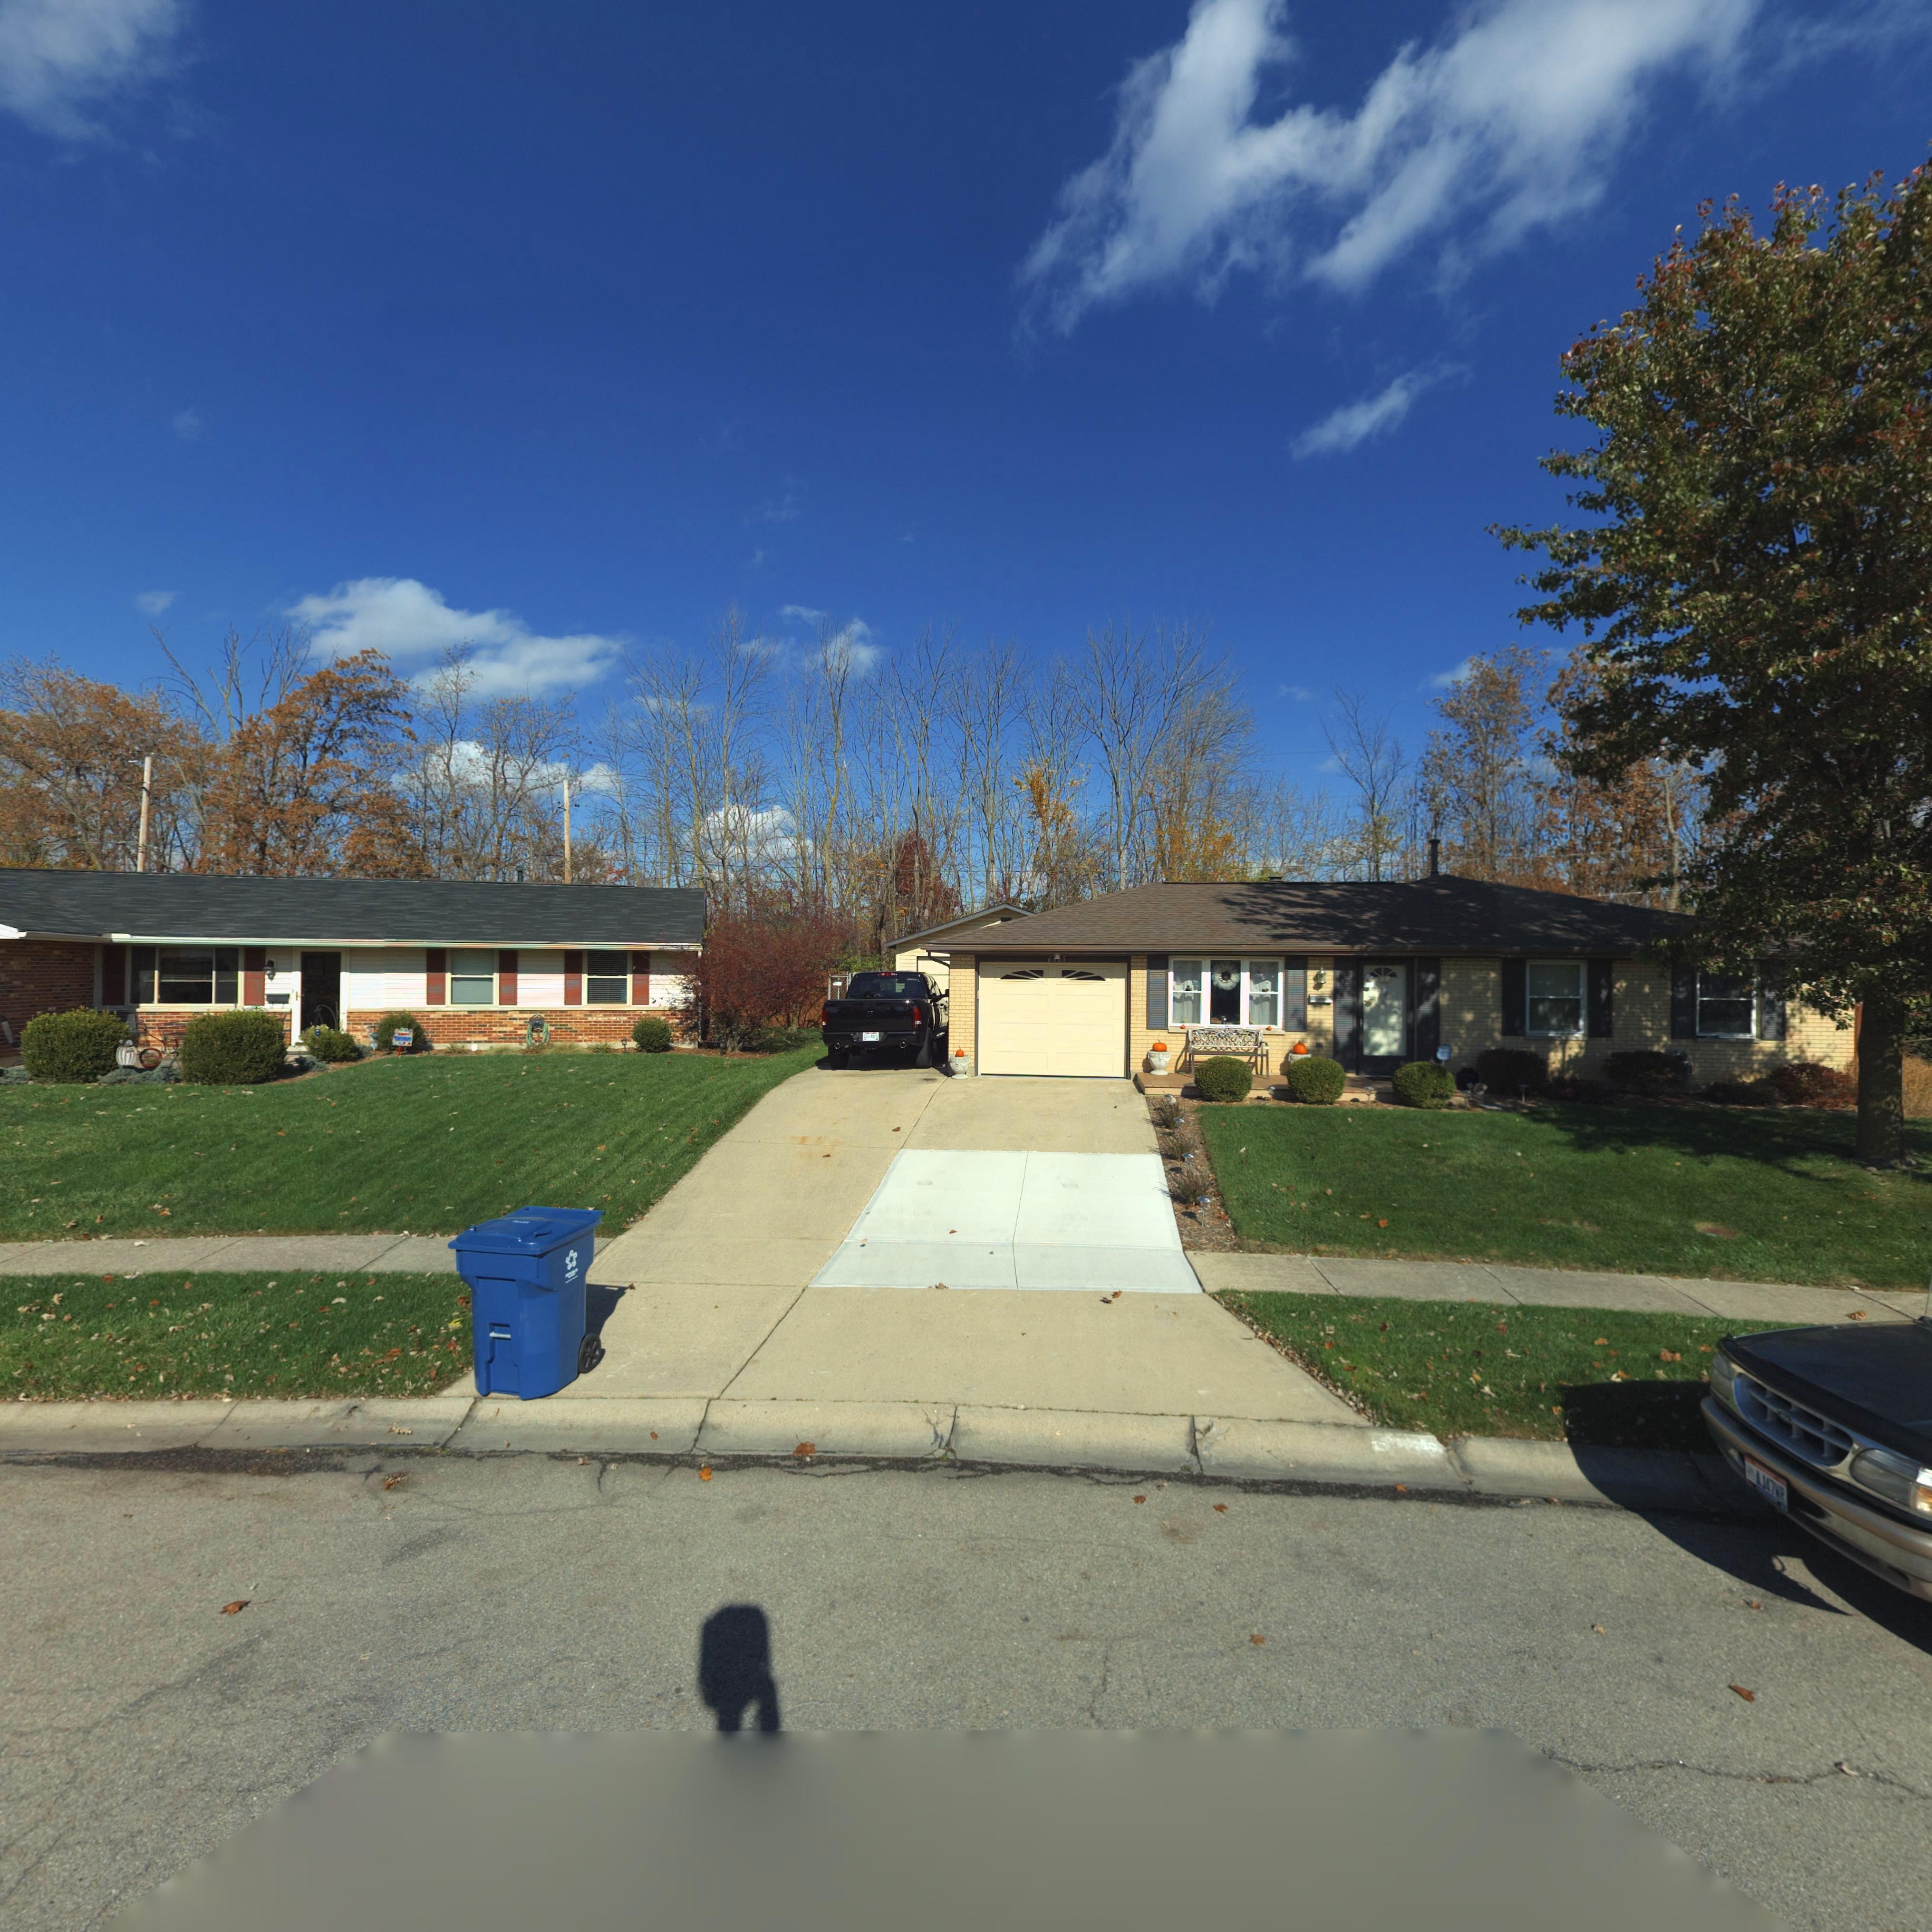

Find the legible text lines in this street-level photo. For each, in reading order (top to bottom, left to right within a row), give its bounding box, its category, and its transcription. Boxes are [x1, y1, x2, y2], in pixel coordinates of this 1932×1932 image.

[1047, 956, 1066, 963] StreetNumber: 6**5